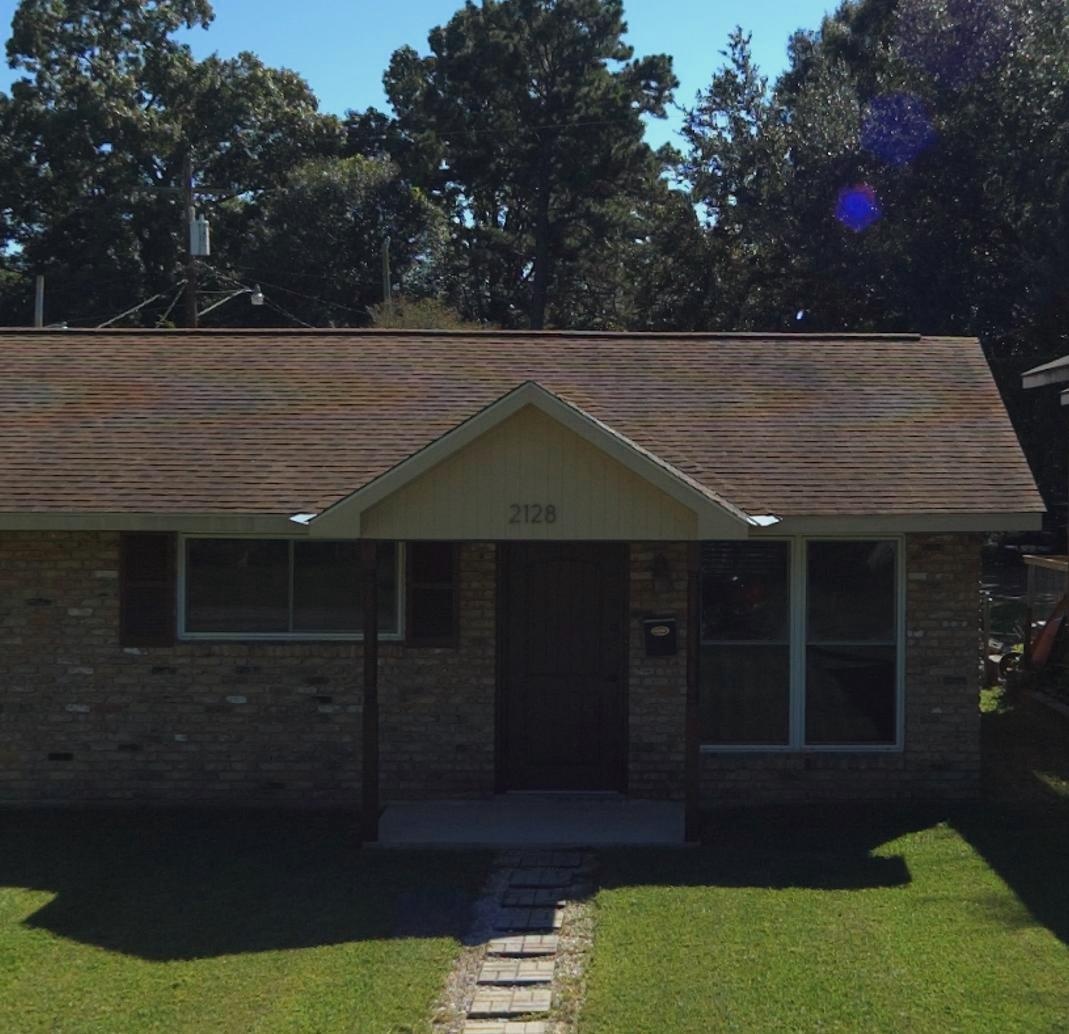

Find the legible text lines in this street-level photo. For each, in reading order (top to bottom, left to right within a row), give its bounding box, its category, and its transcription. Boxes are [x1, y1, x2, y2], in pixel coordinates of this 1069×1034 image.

[507, 503, 558, 525] StreetNumber: 2128